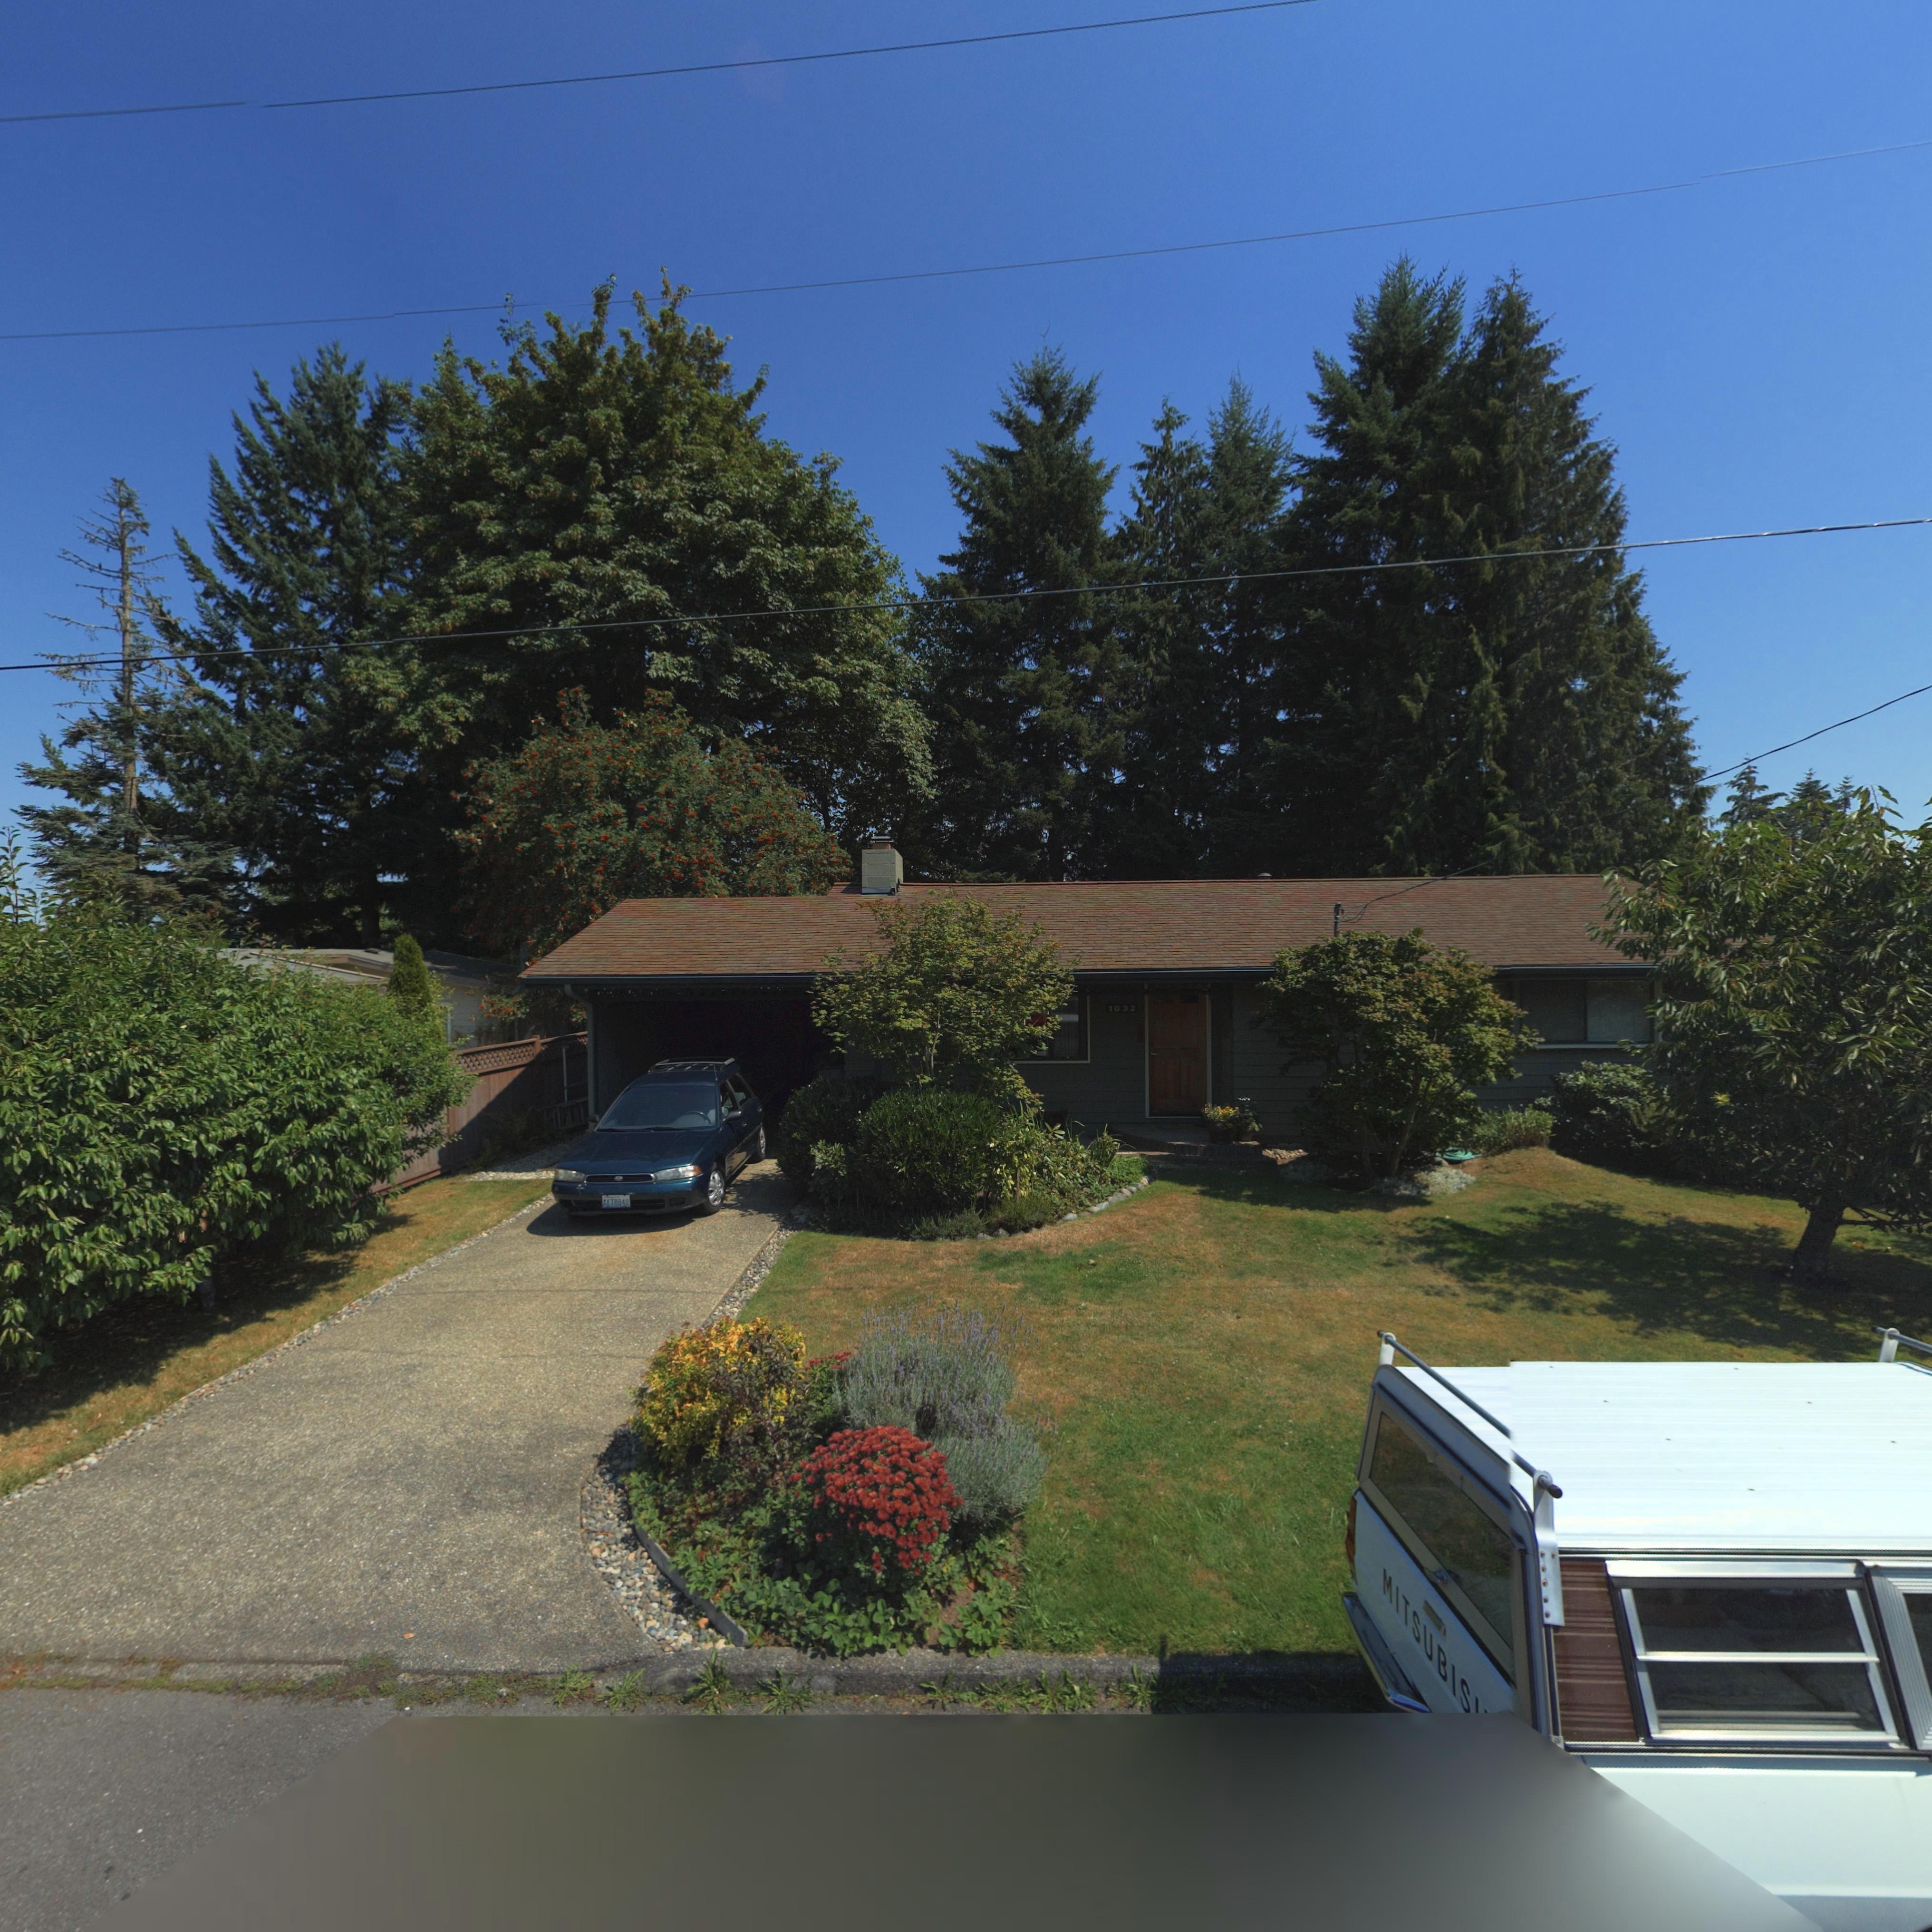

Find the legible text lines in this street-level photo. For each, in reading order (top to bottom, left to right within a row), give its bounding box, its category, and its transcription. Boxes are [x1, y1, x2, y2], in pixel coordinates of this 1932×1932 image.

[1109, 1005, 1135, 1012] StreetNumber: 1632